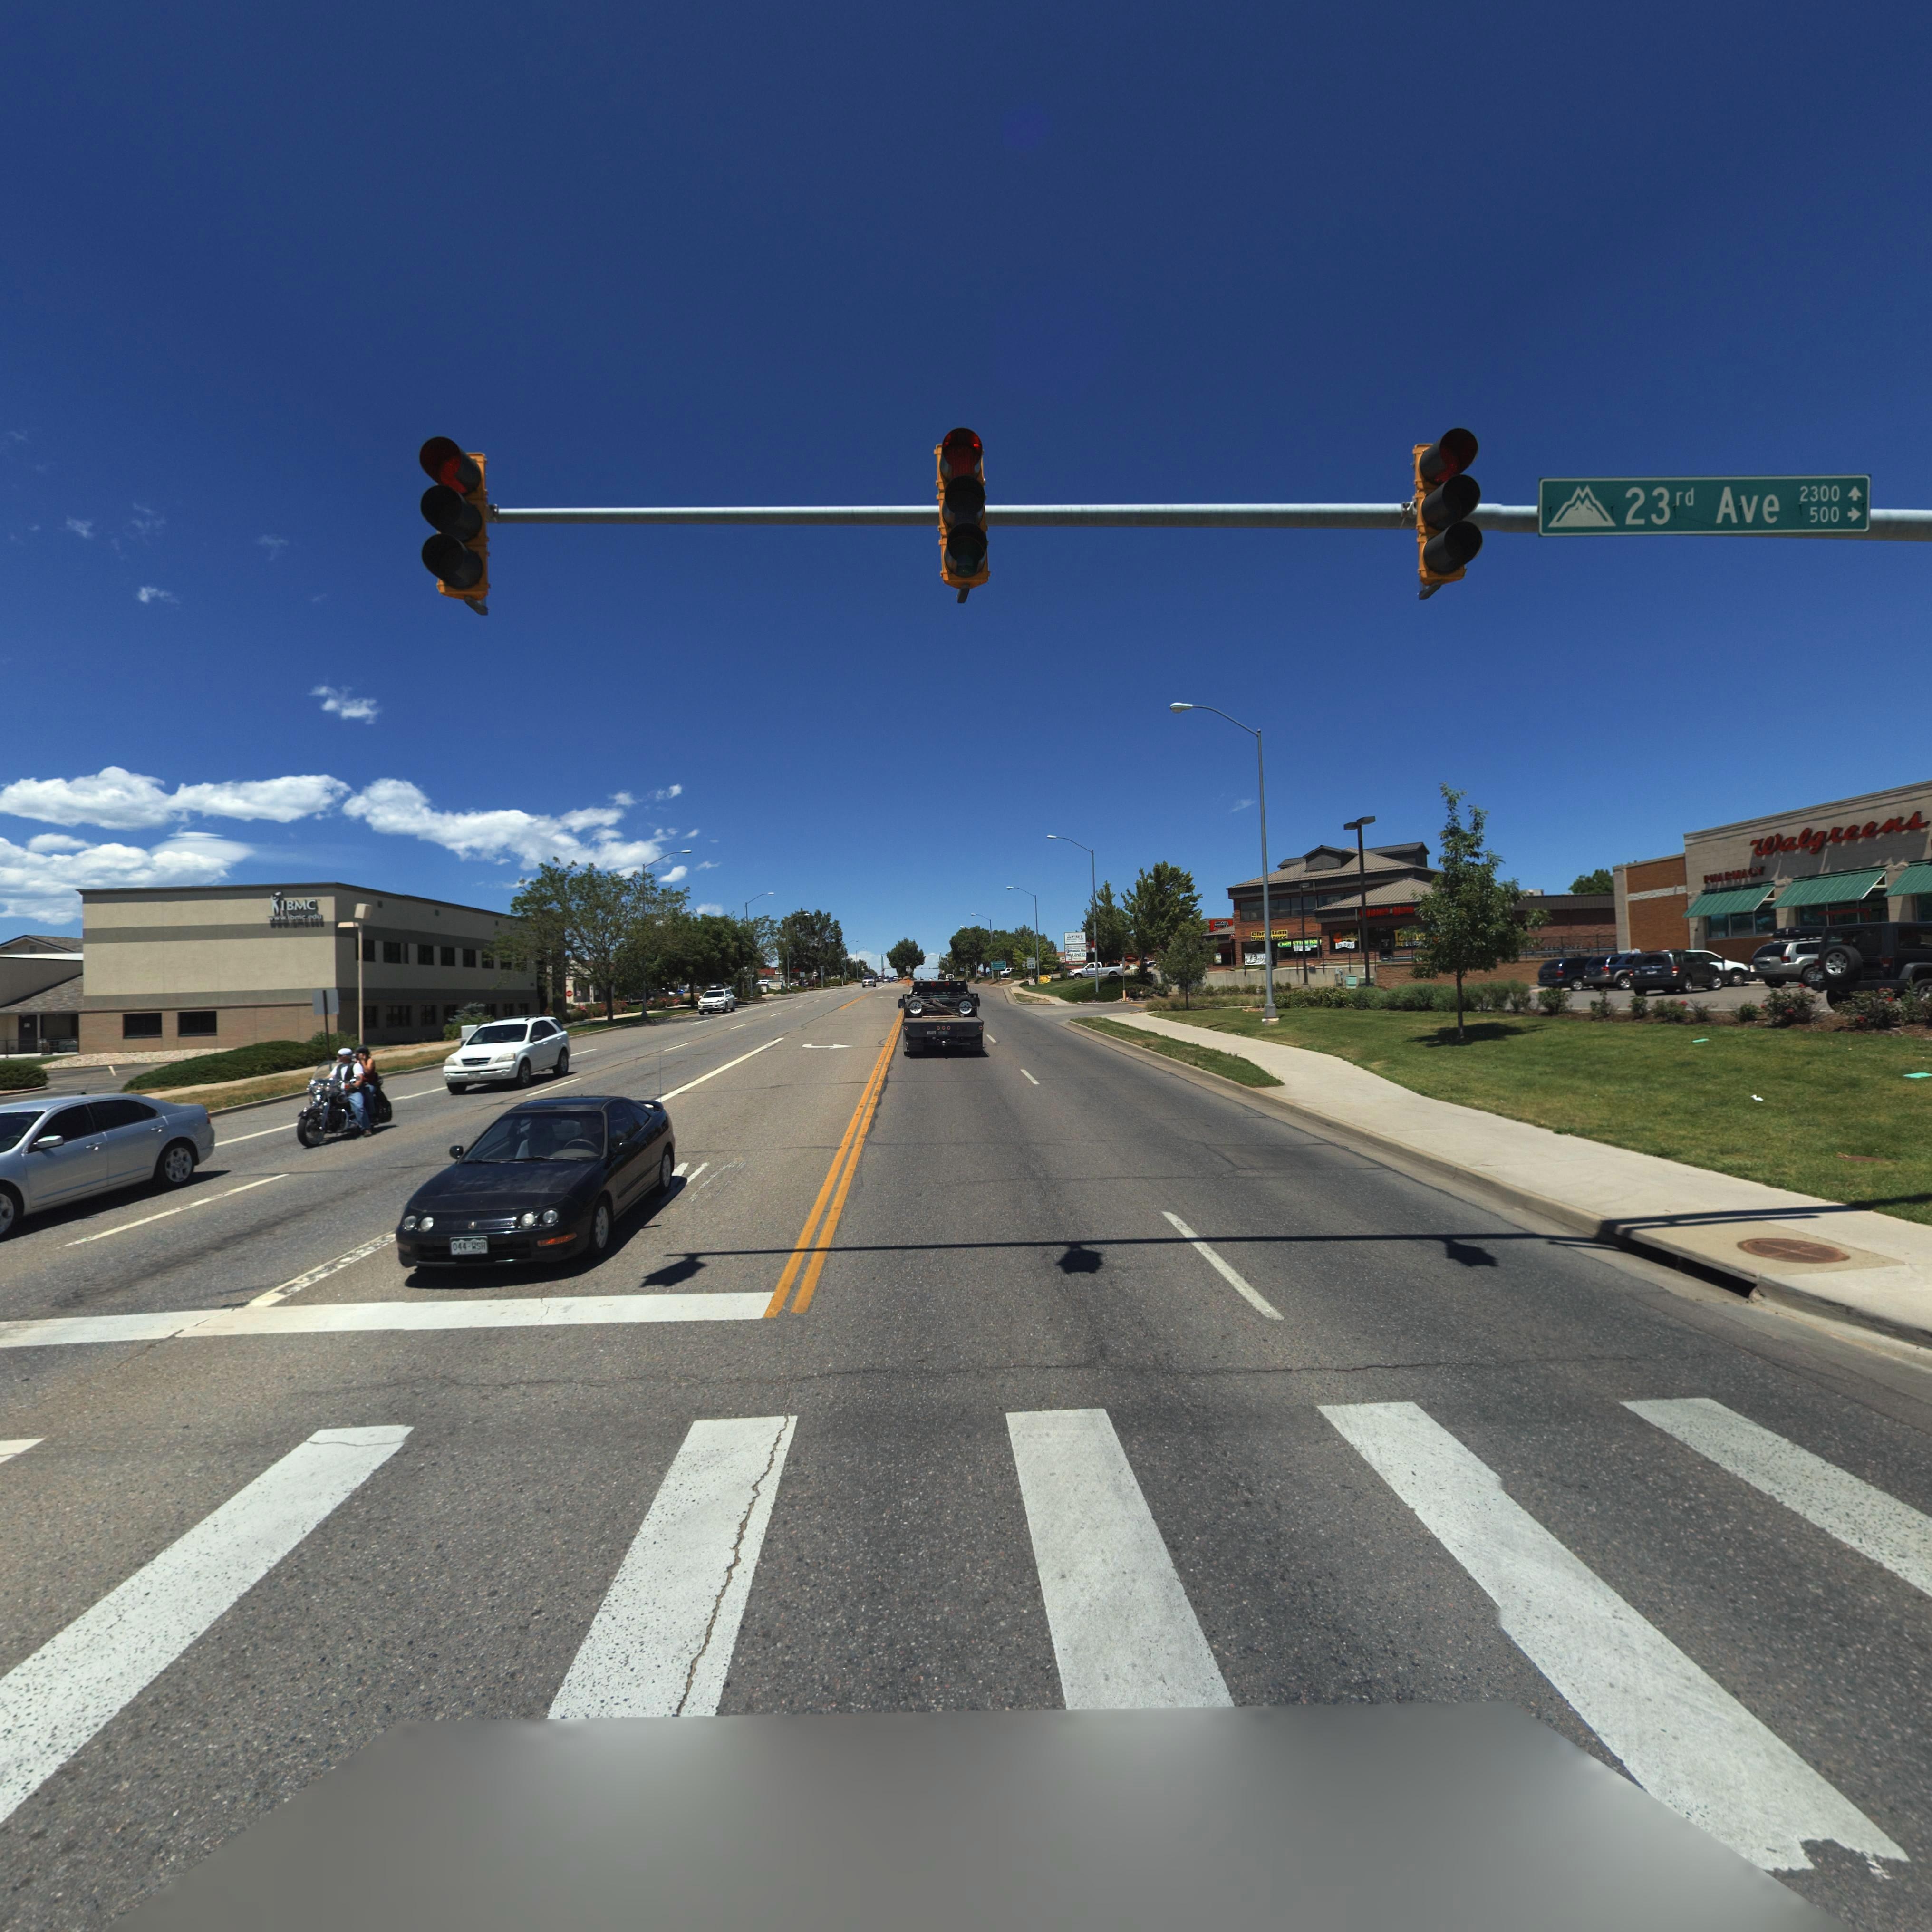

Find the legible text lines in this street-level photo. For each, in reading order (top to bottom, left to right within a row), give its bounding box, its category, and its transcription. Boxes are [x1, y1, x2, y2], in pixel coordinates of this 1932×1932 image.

[1799, 484, 1840, 502] StreetNumberRange: 2300
[1623, 485, 1780, 526] StreetName: 23rd Ave
[1809, 506, 1864, 523] StreetNumberRange: 500->
[1748, 810, 1931, 857] BusinessName: Walgreens
[280, 898, 316, 911] BusinessName: IBMC
[1359, 906, 1414, 918] BusinessName: *ONEY NOW